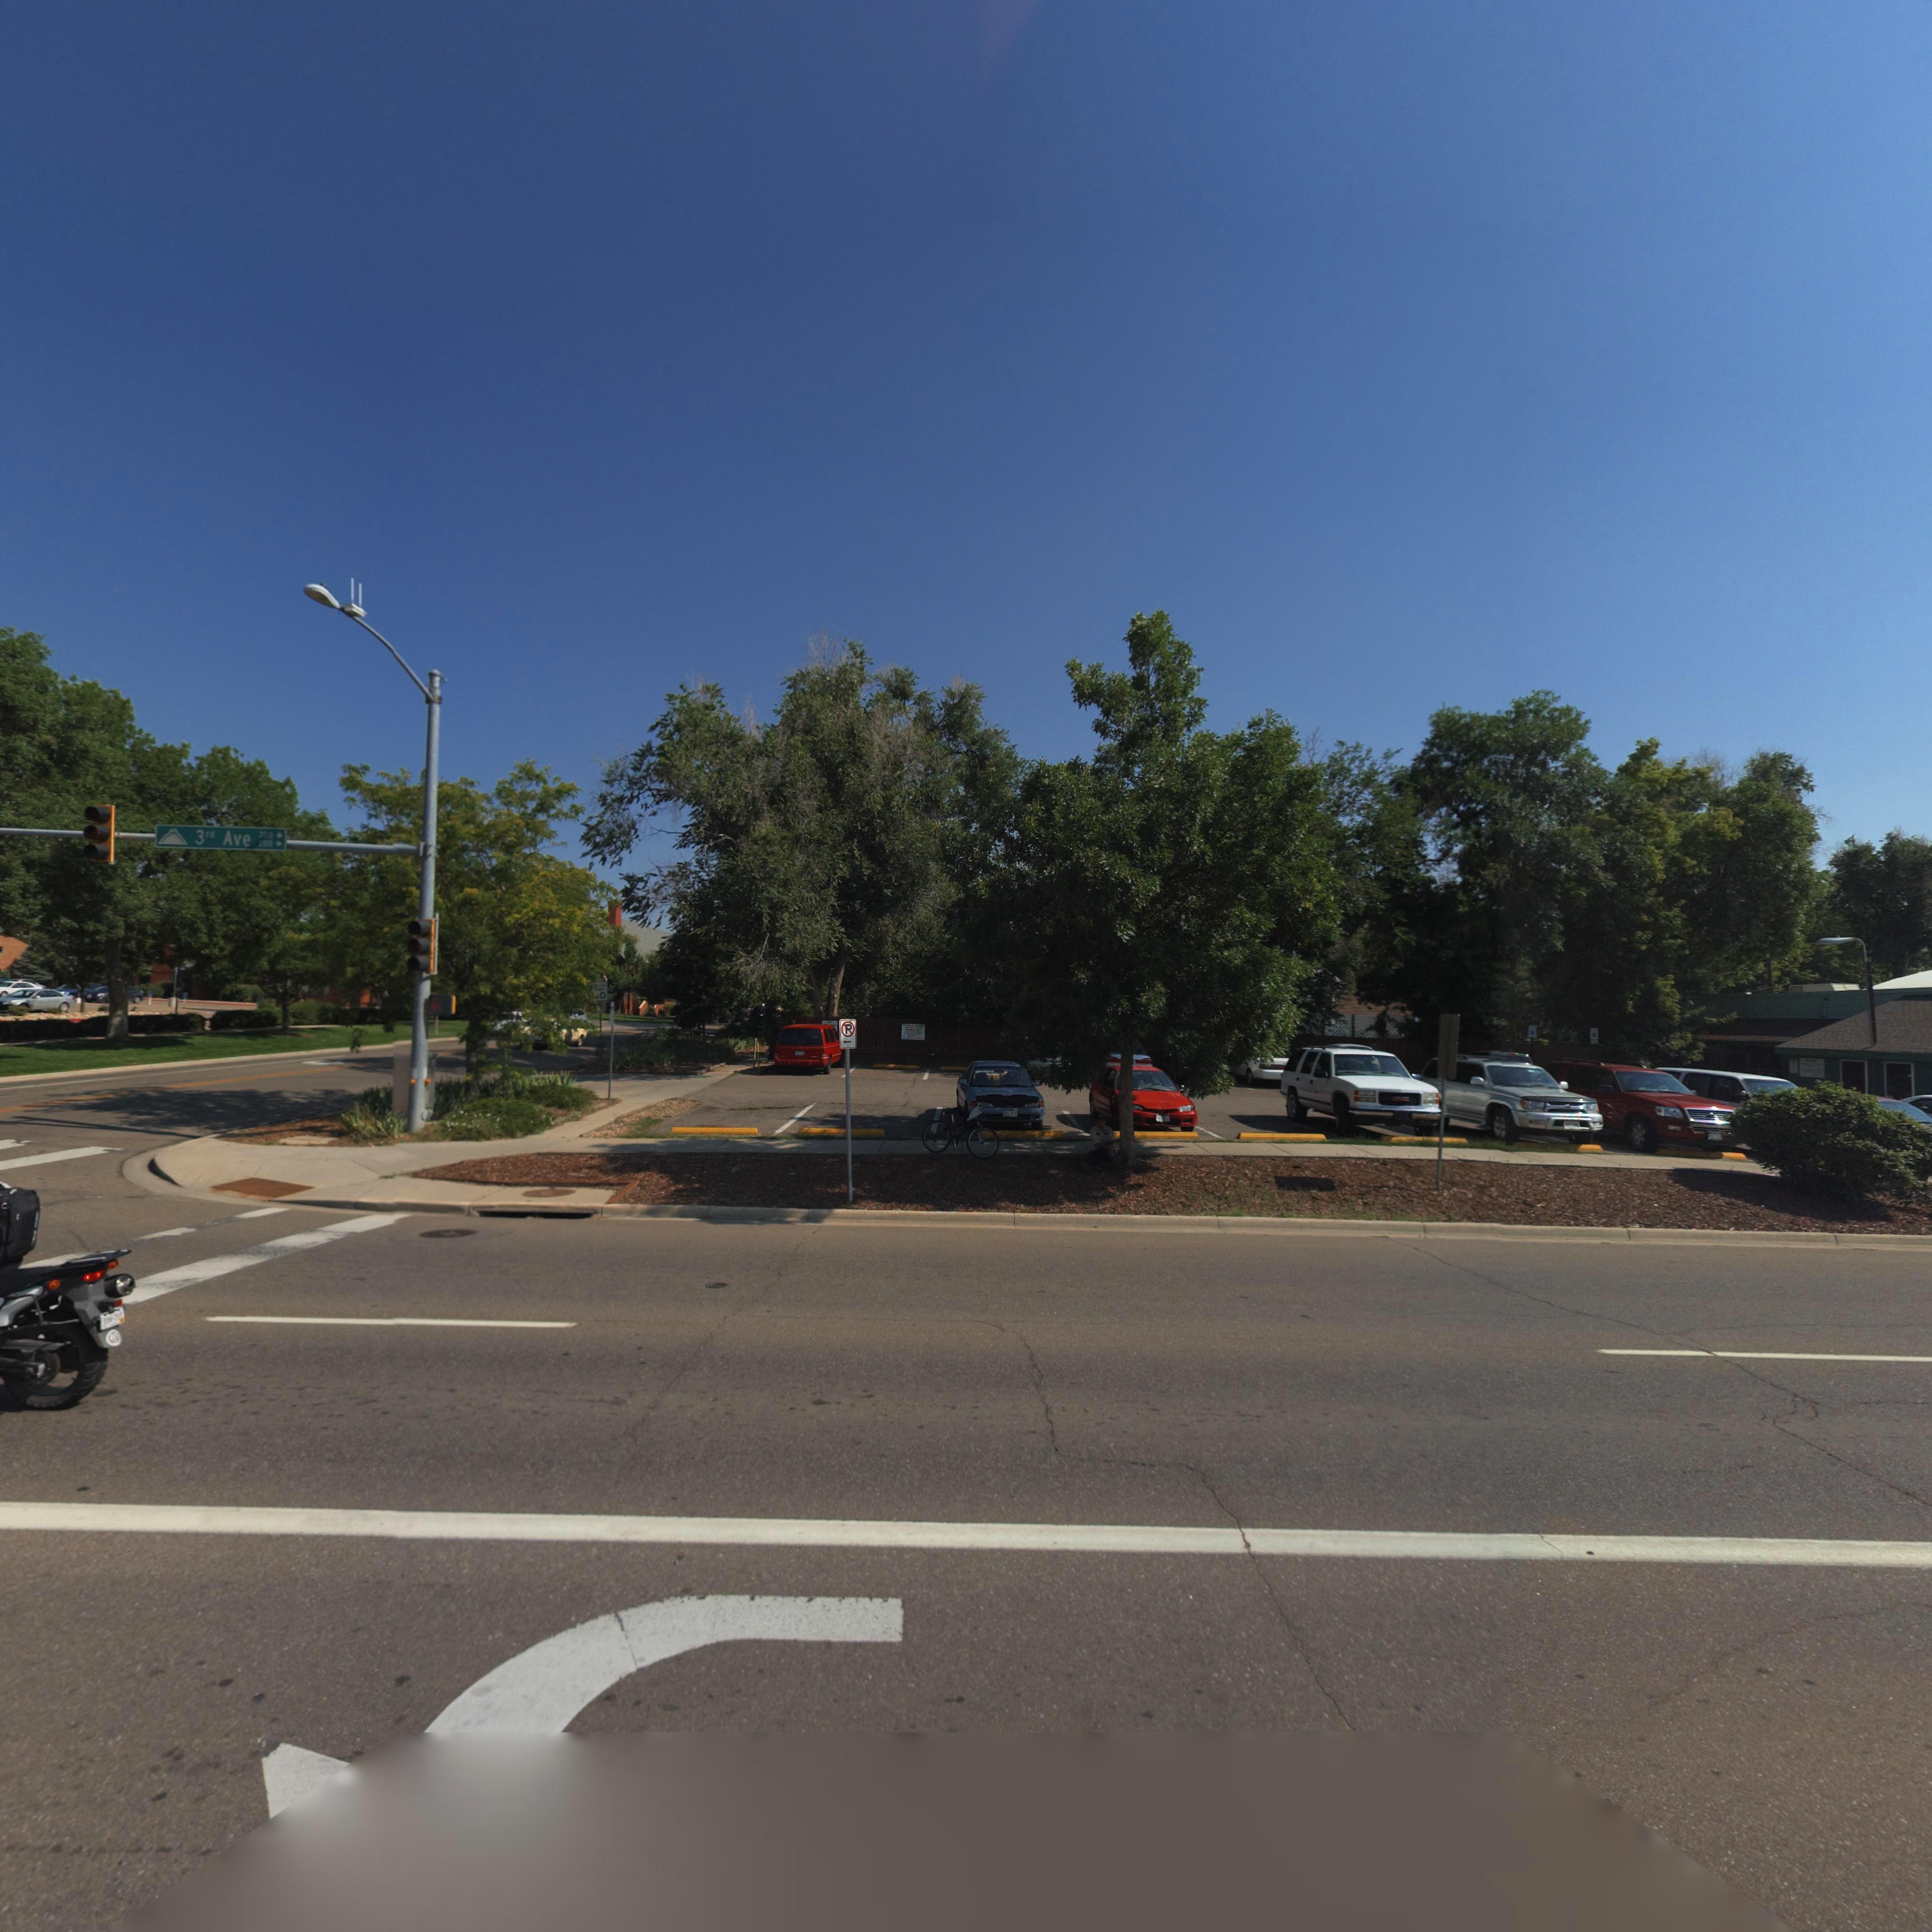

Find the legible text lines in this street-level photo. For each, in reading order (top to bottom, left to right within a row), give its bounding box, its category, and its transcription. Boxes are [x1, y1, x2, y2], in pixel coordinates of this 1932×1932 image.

[194, 829, 252, 847] StreetName: 3rd Ave
[258, 831, 274, 839] StreetNumberRange: 300
[258, 839, 283, 847] StreetNumberRange: 200->